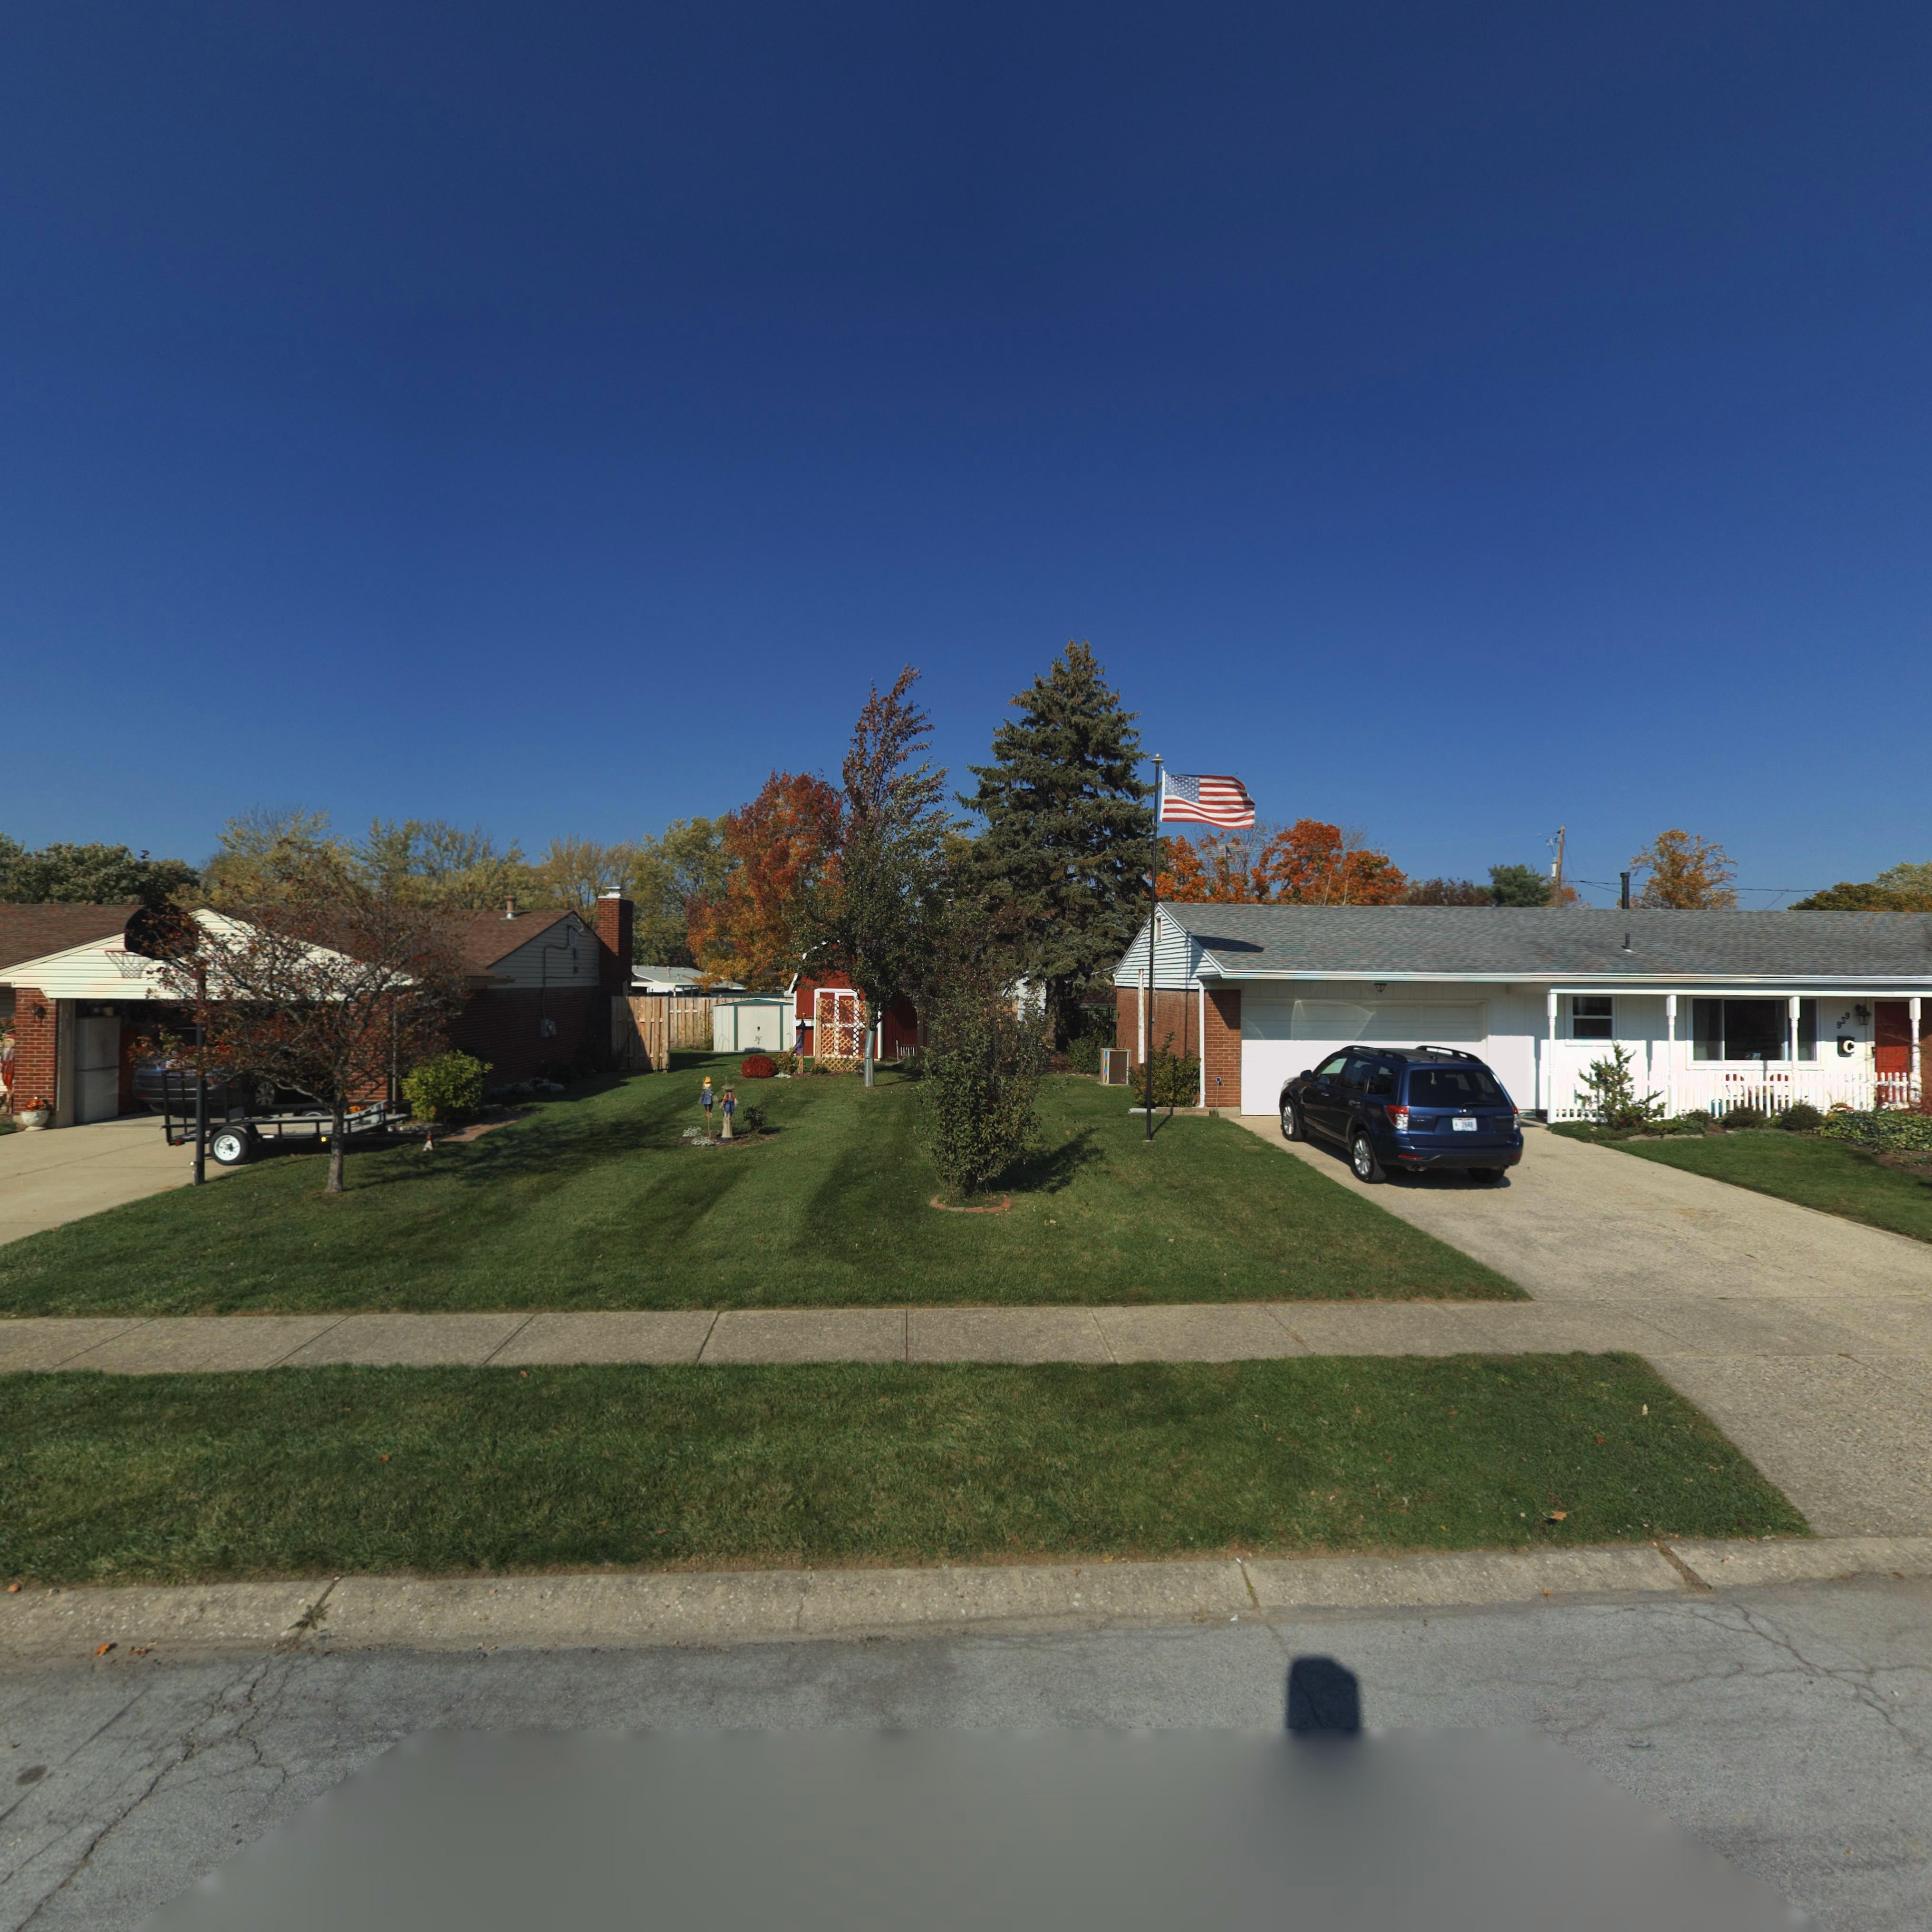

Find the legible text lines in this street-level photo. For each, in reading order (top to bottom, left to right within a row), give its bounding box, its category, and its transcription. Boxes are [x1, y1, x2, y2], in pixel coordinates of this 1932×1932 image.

[1836, 1011, 1851, 1030] StreetNumber: 939